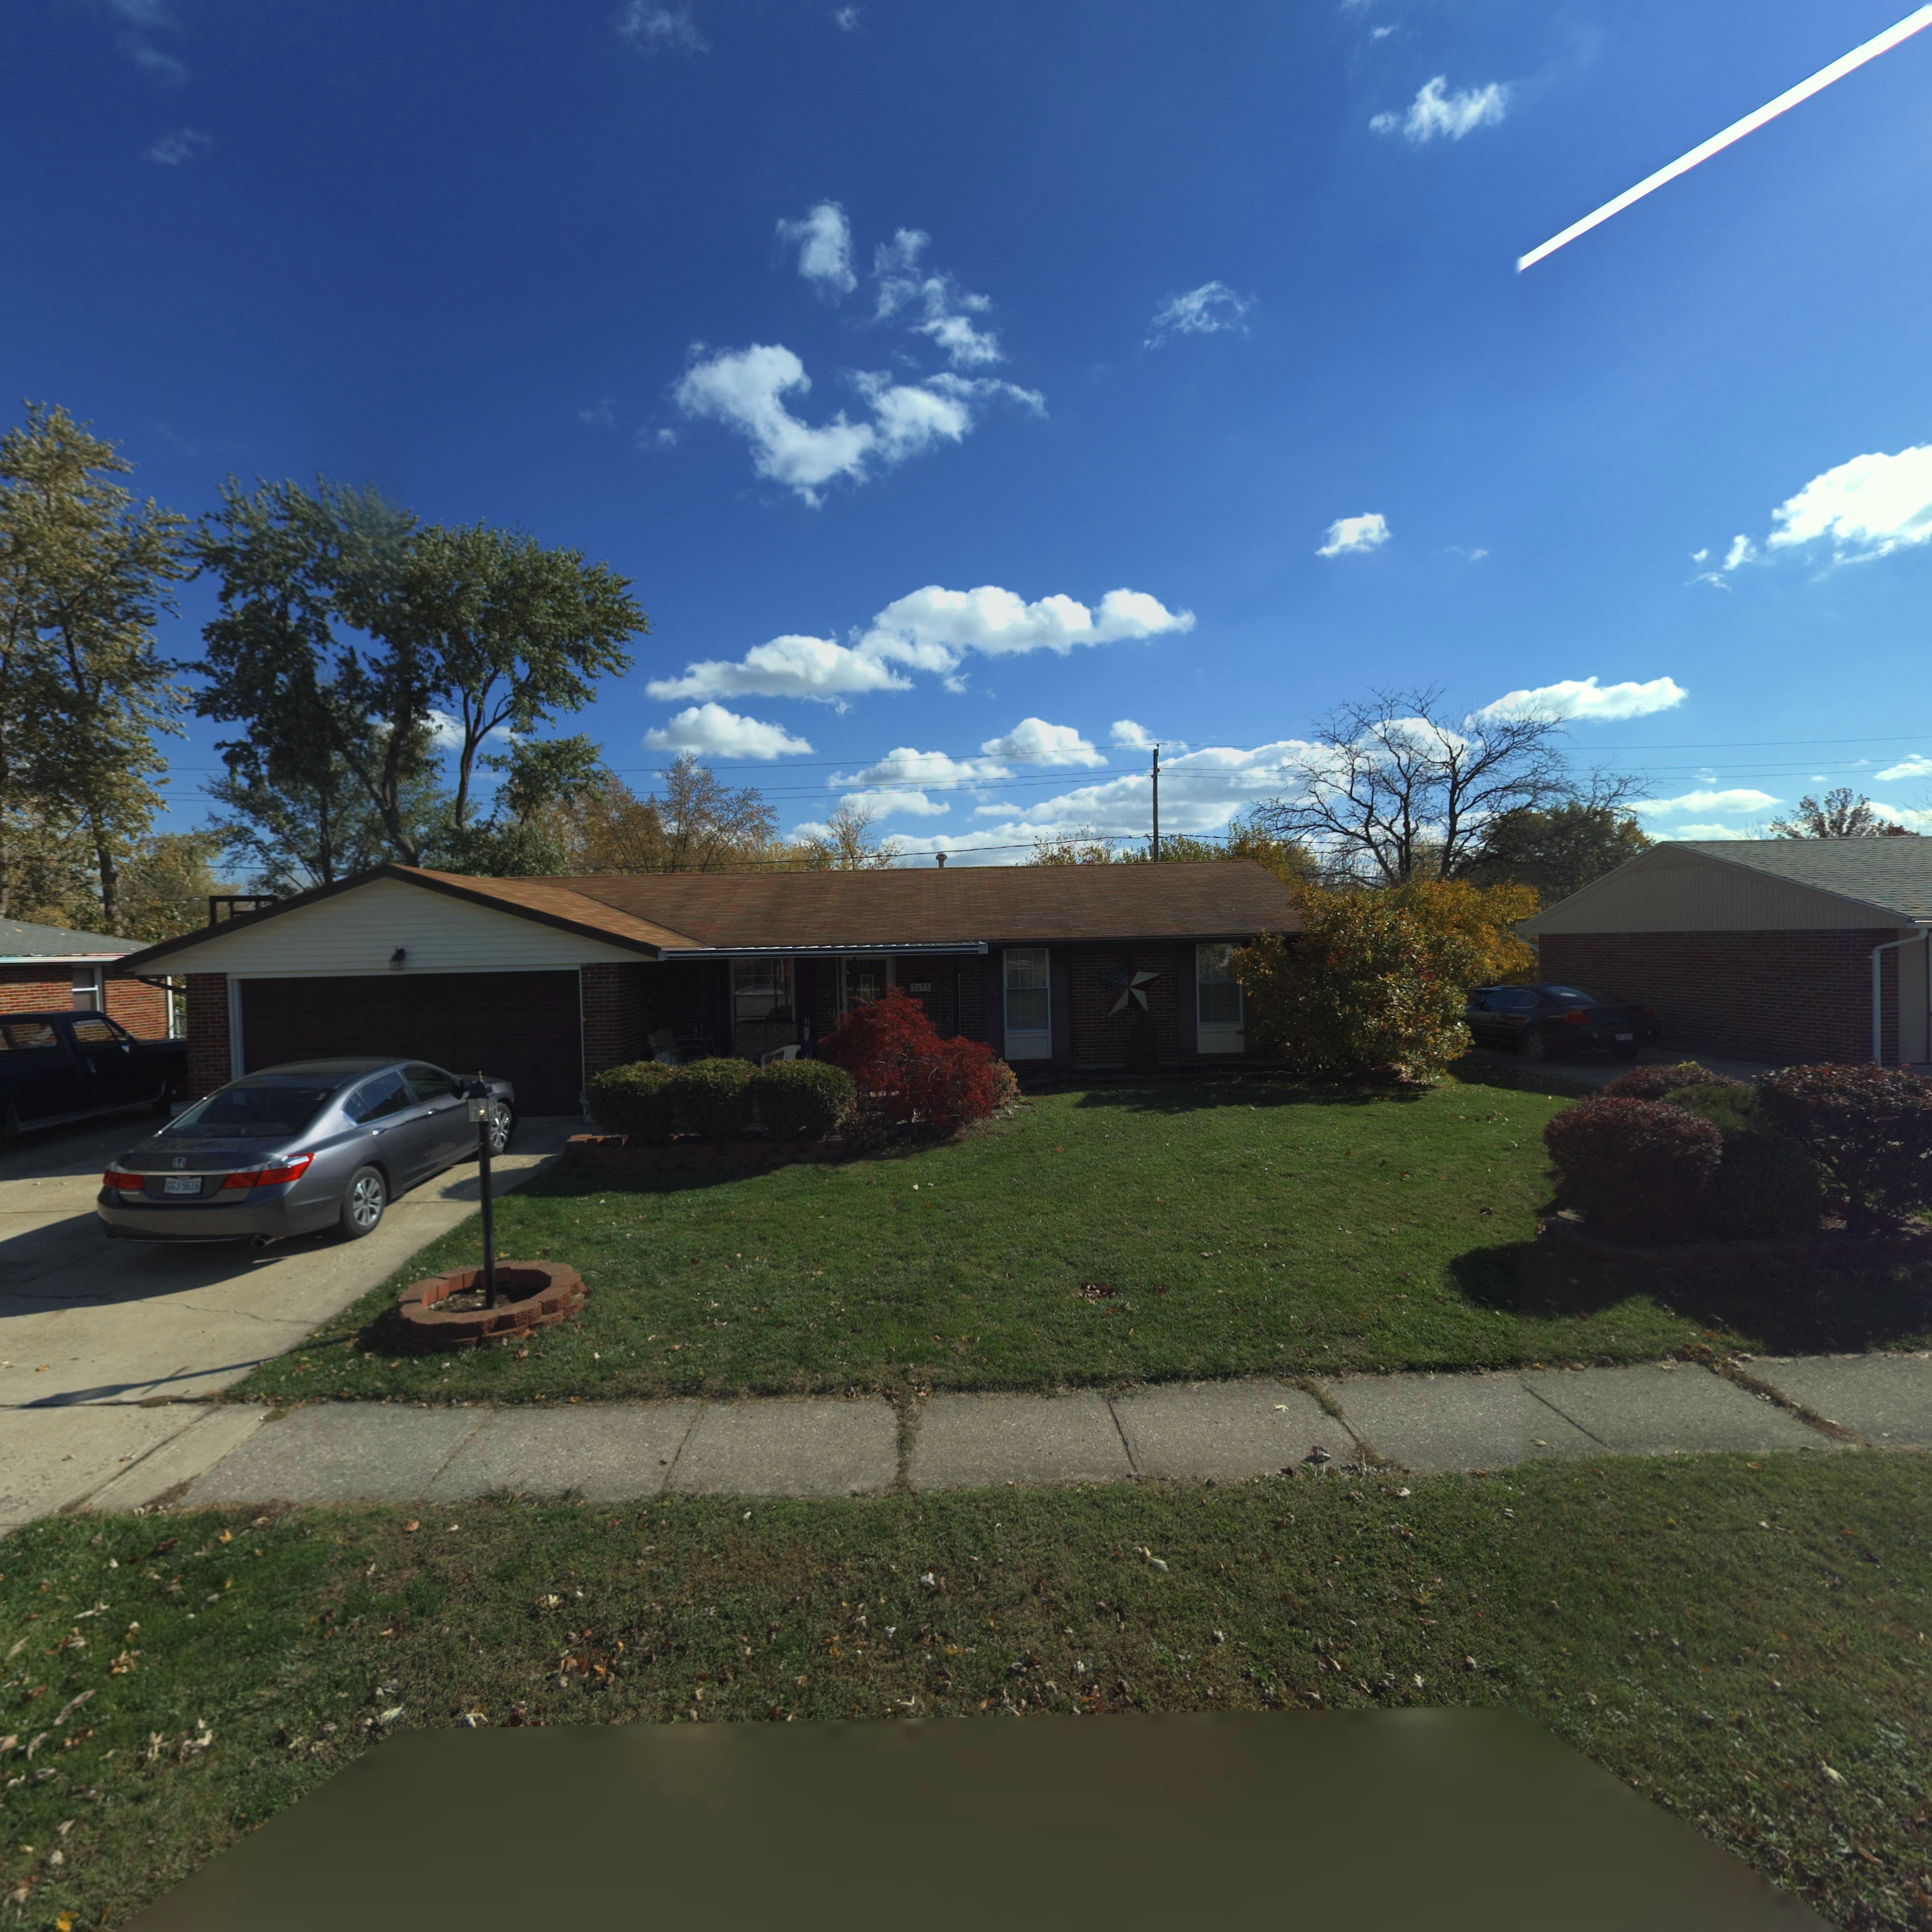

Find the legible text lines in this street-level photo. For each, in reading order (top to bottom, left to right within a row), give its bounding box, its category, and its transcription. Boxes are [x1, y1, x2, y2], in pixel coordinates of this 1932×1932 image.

[911, 983, 930, 992] StreetNumber: 7673